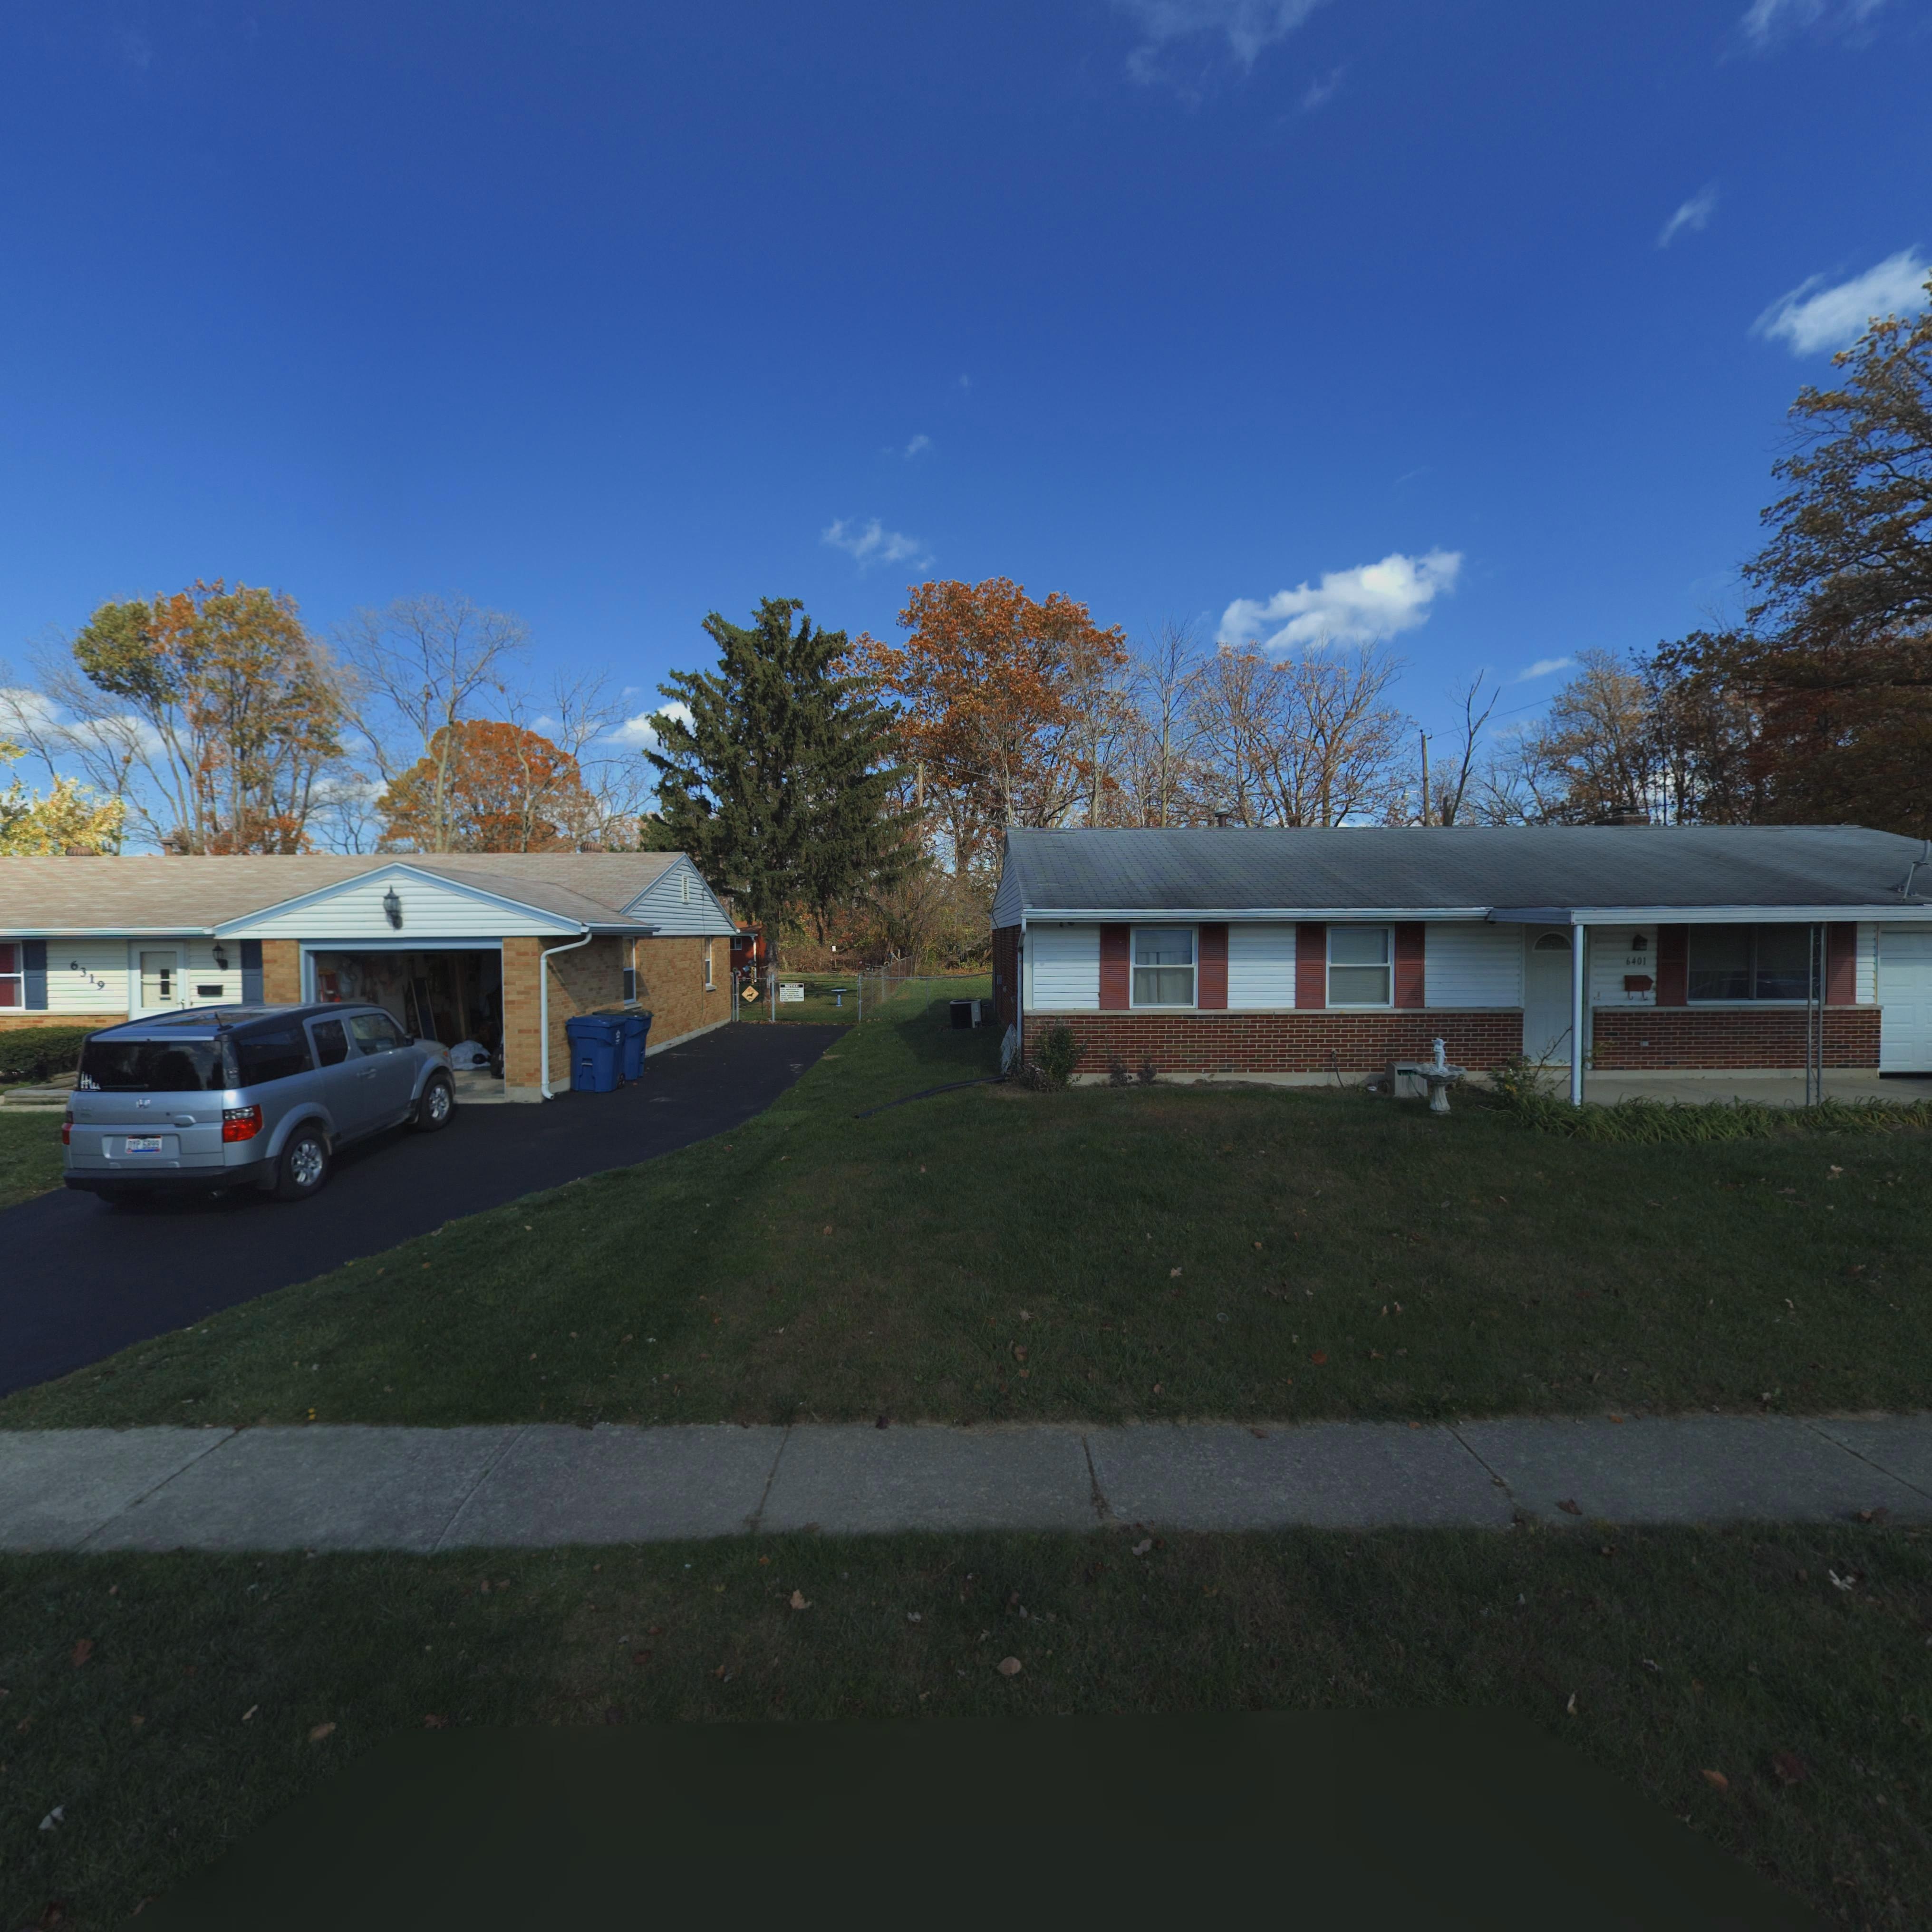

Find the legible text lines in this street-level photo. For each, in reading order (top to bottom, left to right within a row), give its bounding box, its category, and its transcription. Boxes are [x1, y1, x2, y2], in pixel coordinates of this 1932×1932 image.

[69, 960, 105, 992] StreetNumber: 6319
[1625, 956, 1646, 966] StreetNumber: 6401